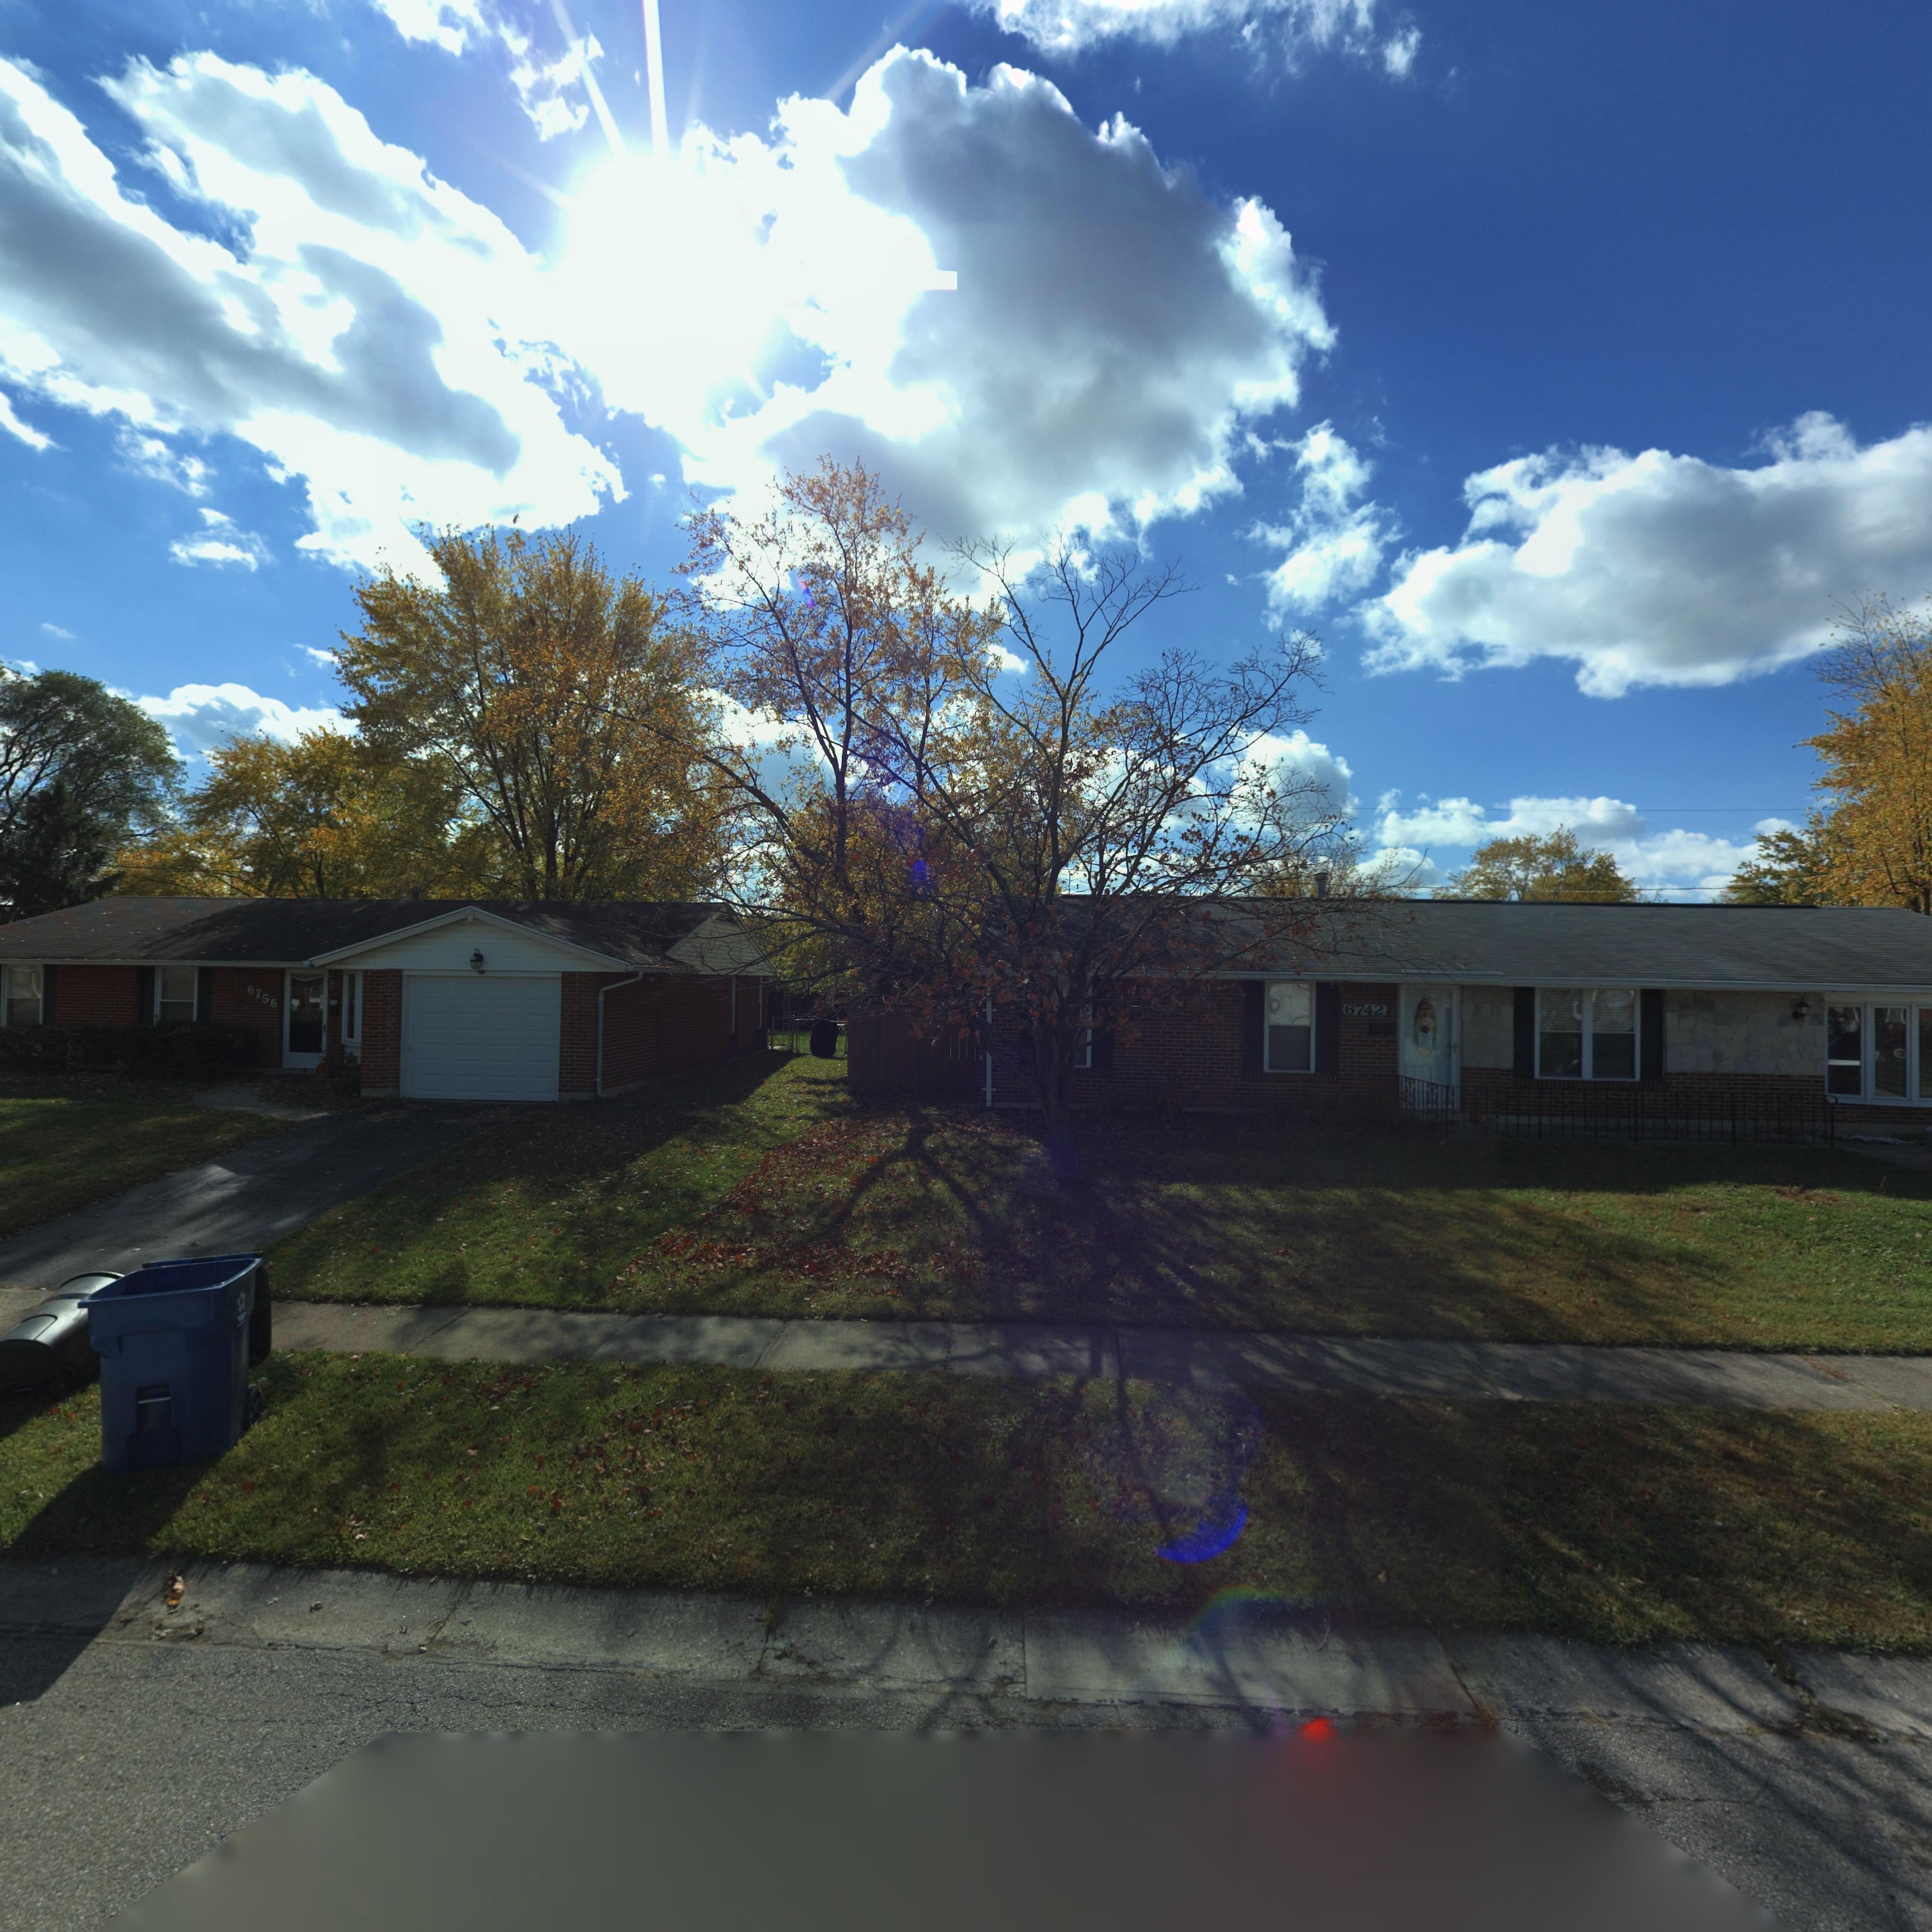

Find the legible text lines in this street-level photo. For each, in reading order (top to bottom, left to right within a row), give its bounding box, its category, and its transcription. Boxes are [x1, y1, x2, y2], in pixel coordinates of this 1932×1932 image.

[247, 985, 278, 1008] StreetNumber: 6756
[1344, 1003, 1384, 1016] StreetNumber: 6742